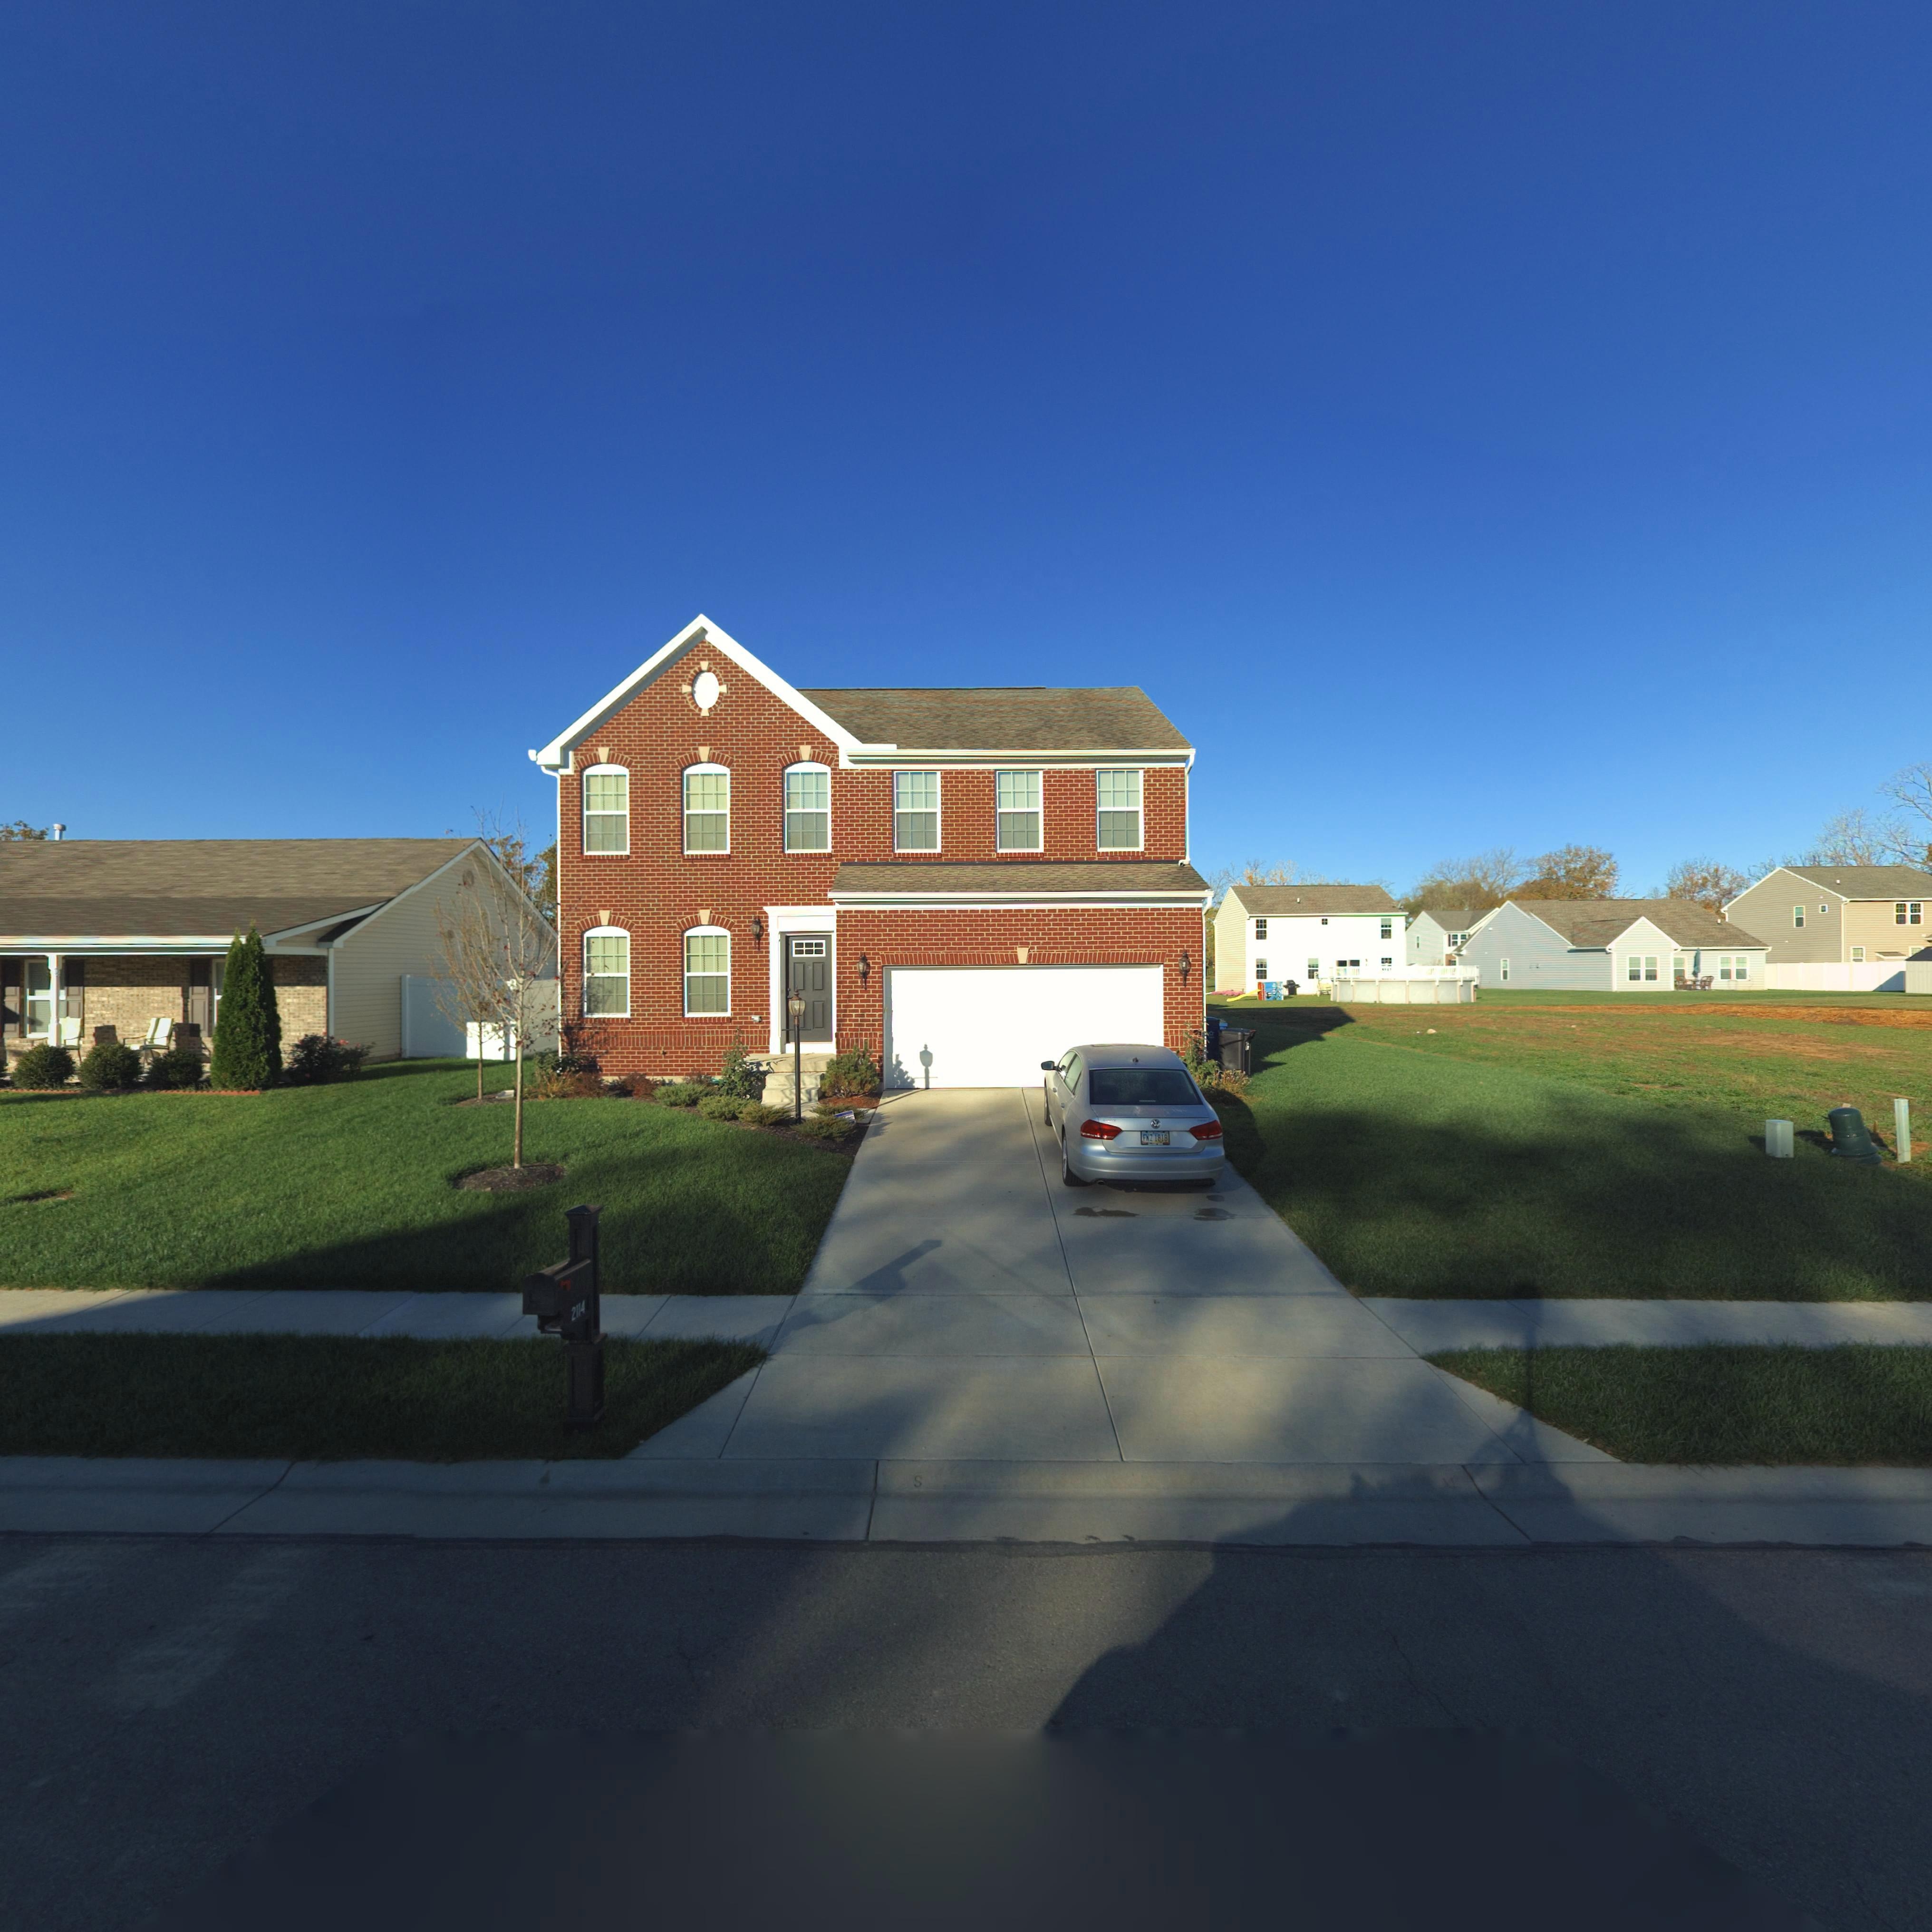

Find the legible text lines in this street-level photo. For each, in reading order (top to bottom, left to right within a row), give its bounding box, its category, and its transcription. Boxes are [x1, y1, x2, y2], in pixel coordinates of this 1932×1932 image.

[570, 1297, 588, 1323] StreetNumber: 2114